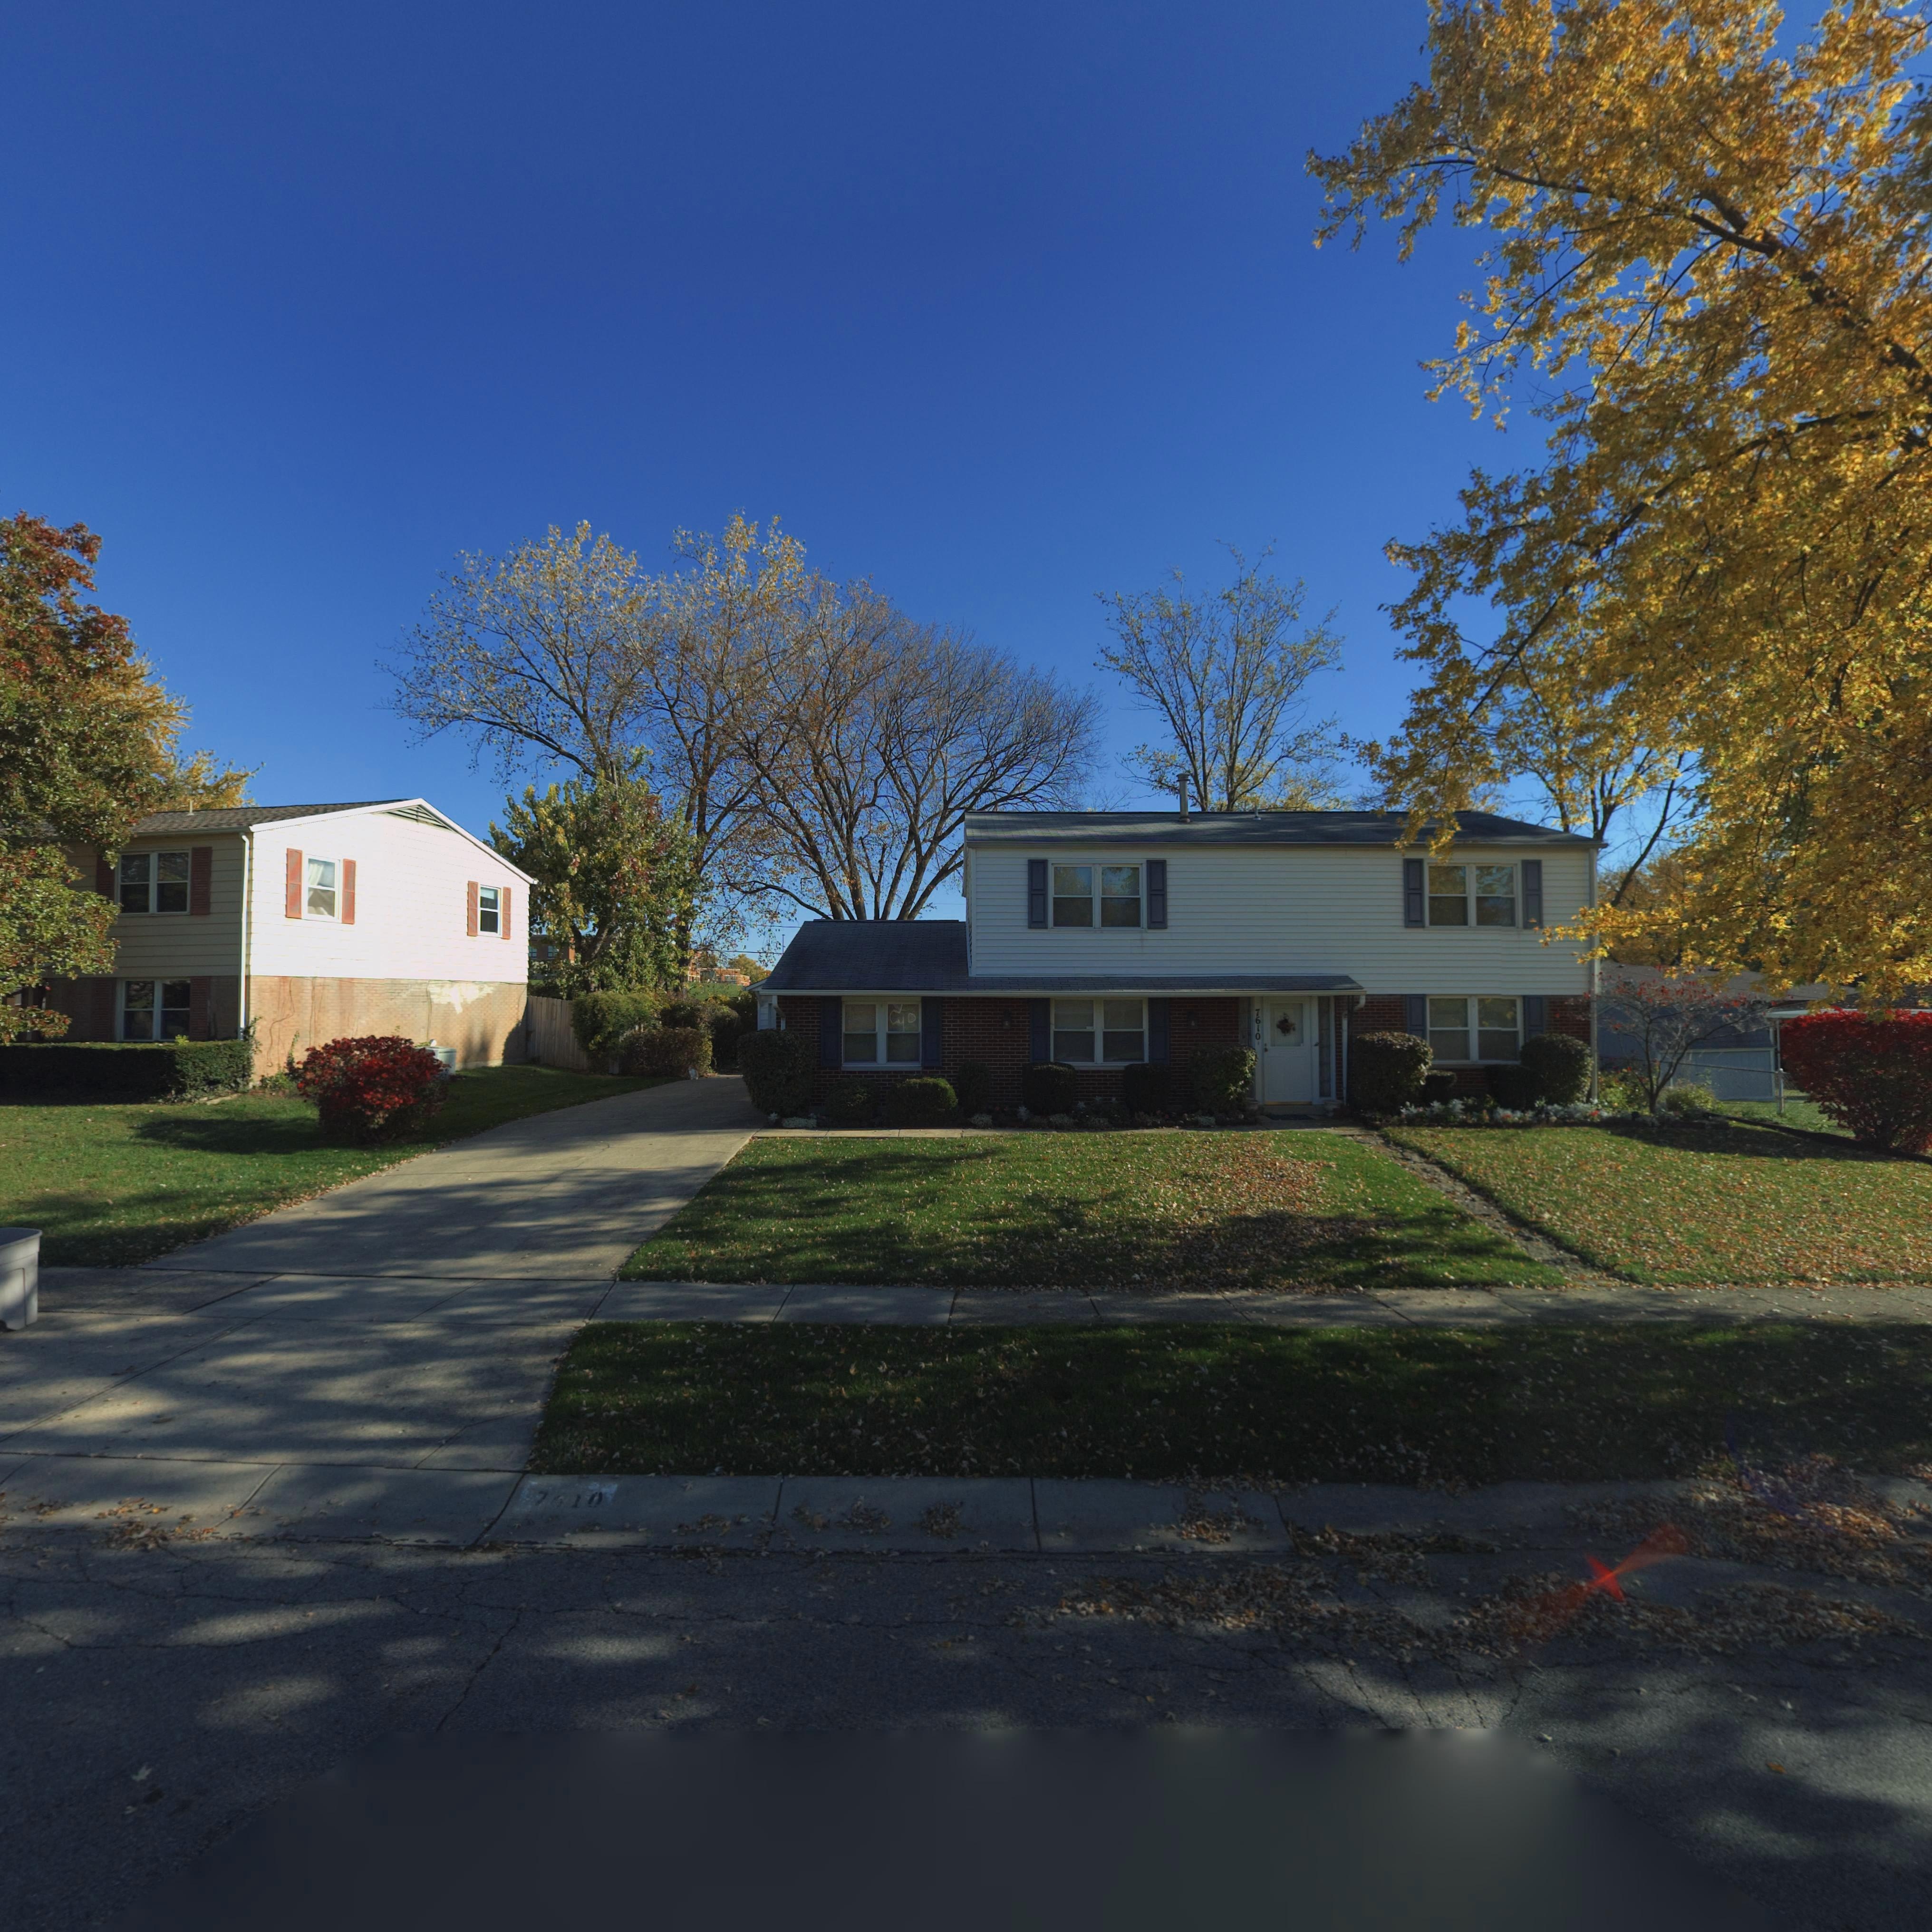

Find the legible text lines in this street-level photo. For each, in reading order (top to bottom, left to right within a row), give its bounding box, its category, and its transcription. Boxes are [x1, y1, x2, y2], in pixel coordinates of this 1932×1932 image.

[1255, 1007, 1261, 1041] StreetNumber: 7610
[532, 1489, 604, 1509] StreetNumber: 7*10